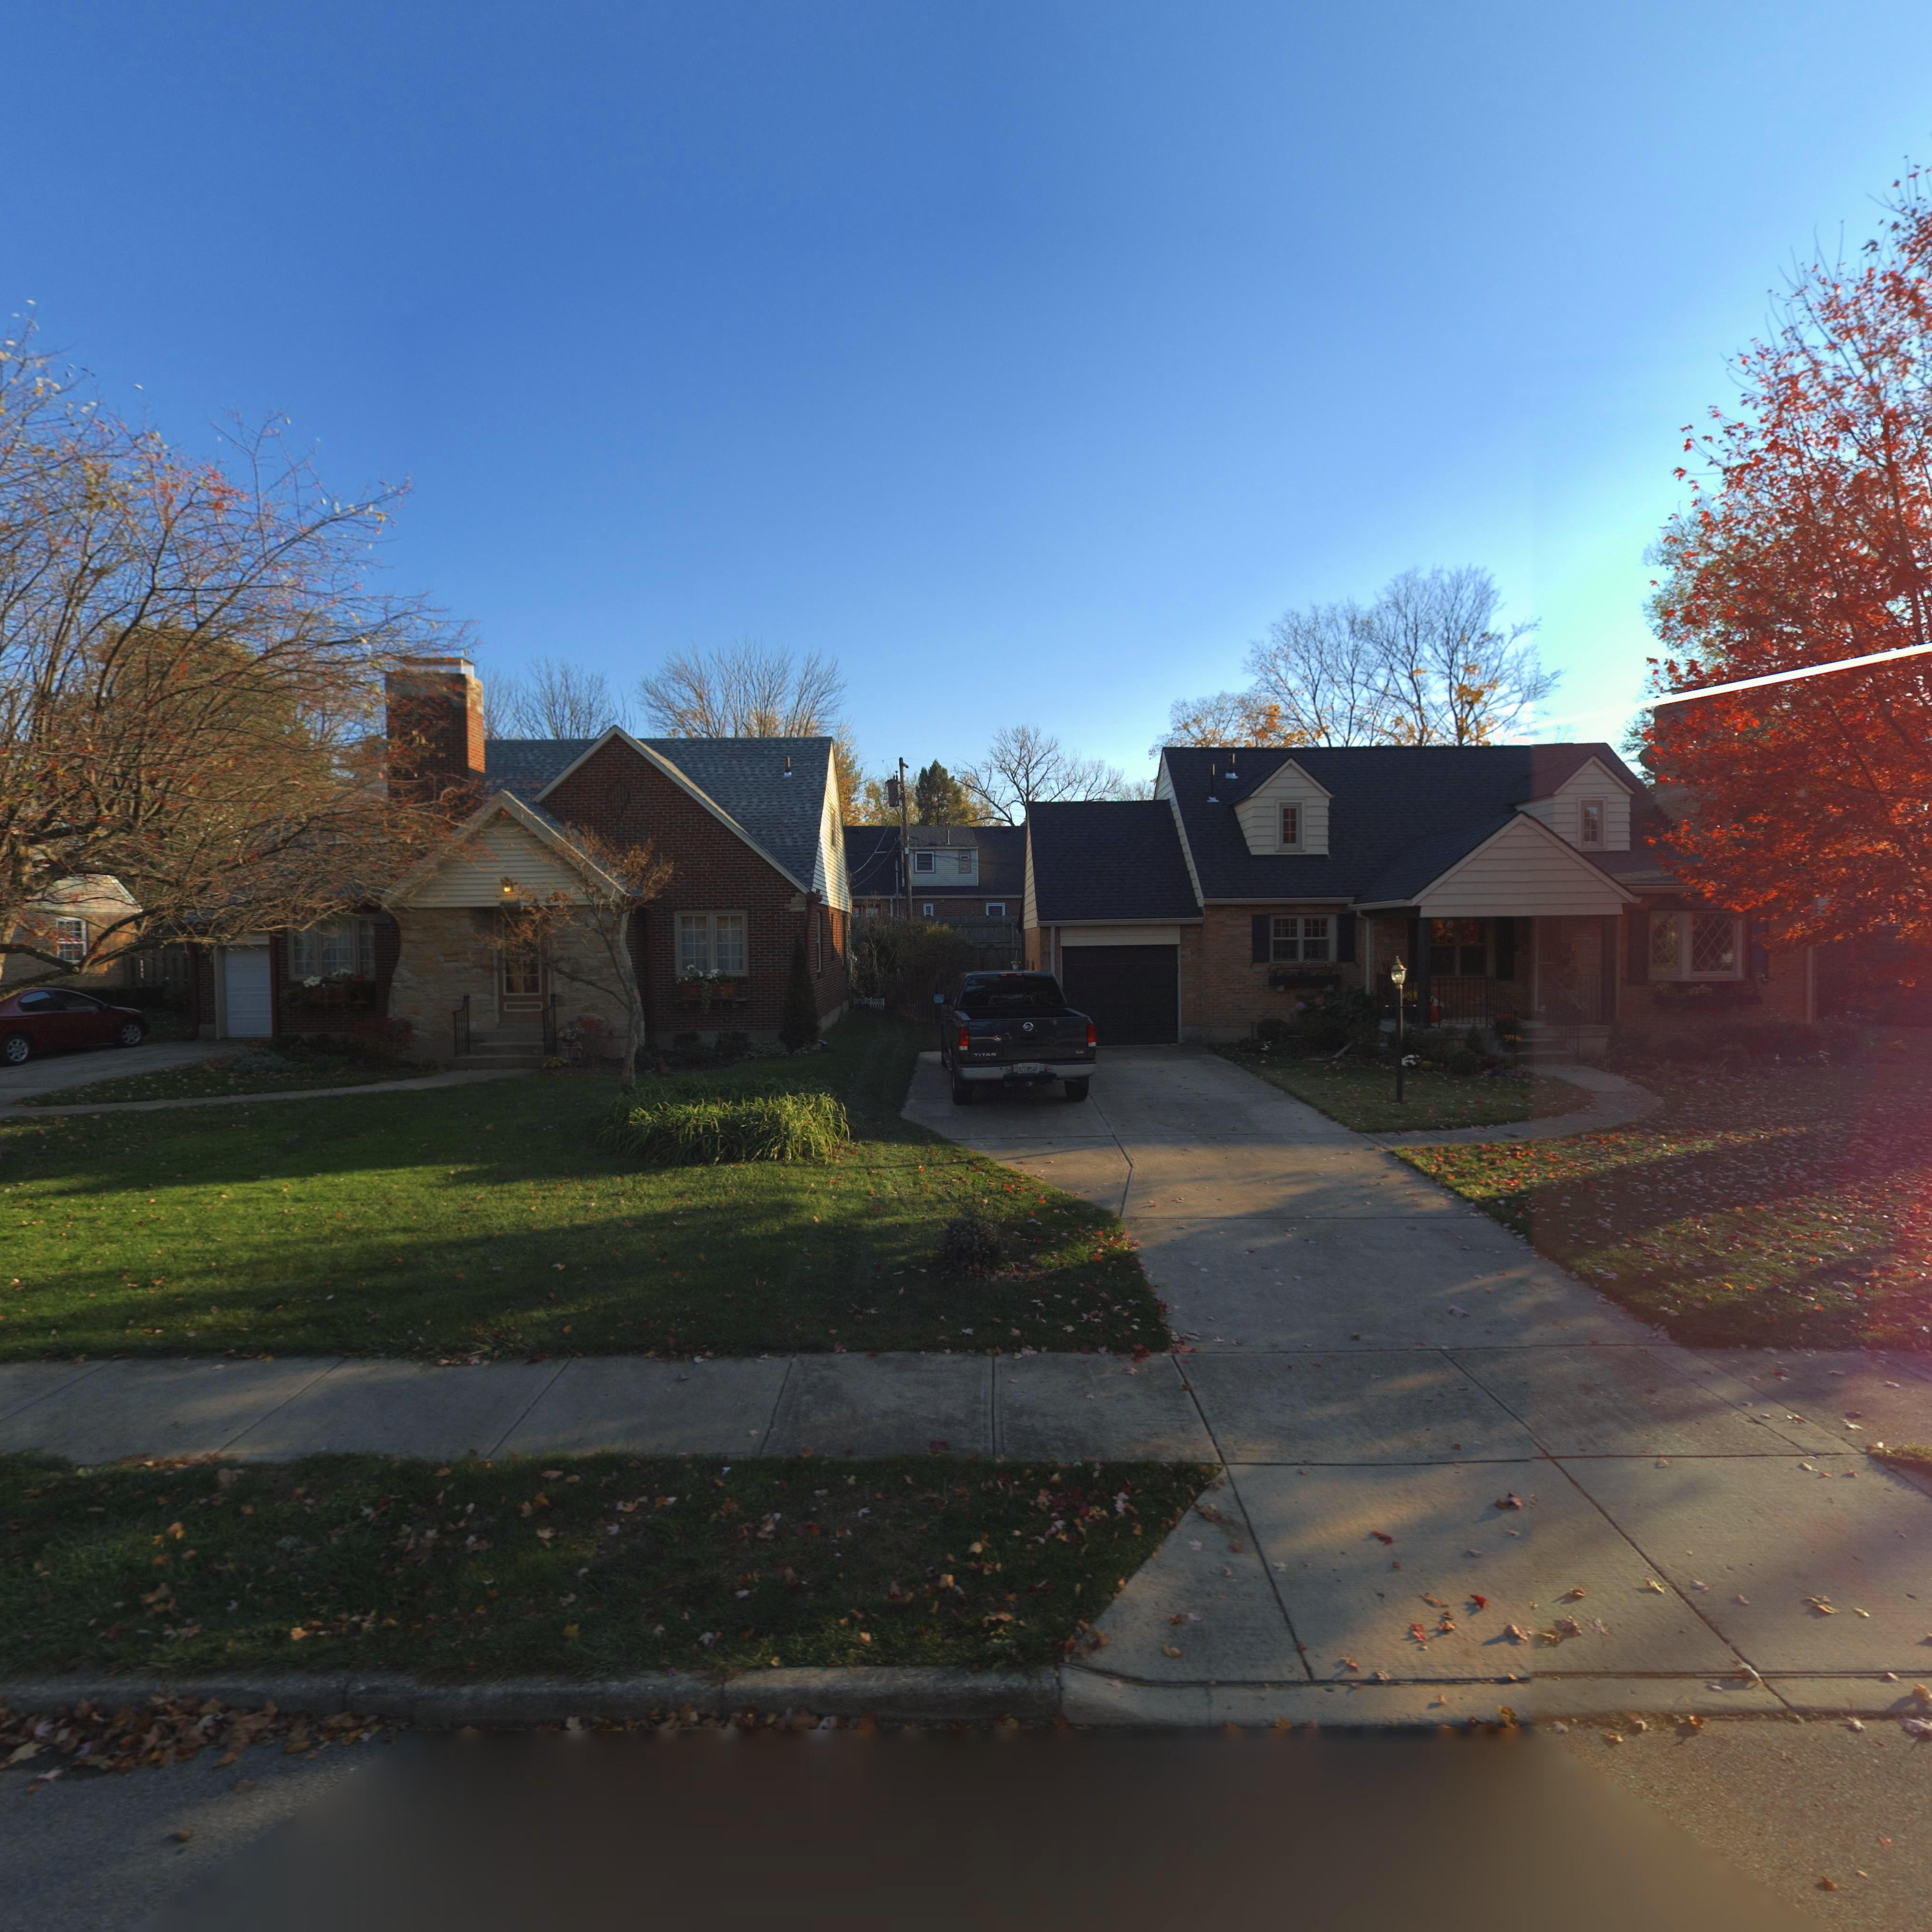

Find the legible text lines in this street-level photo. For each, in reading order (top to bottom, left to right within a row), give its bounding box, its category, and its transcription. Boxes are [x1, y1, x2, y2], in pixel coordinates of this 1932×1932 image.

[498, 900, 519, 908] StreetNumber: *00